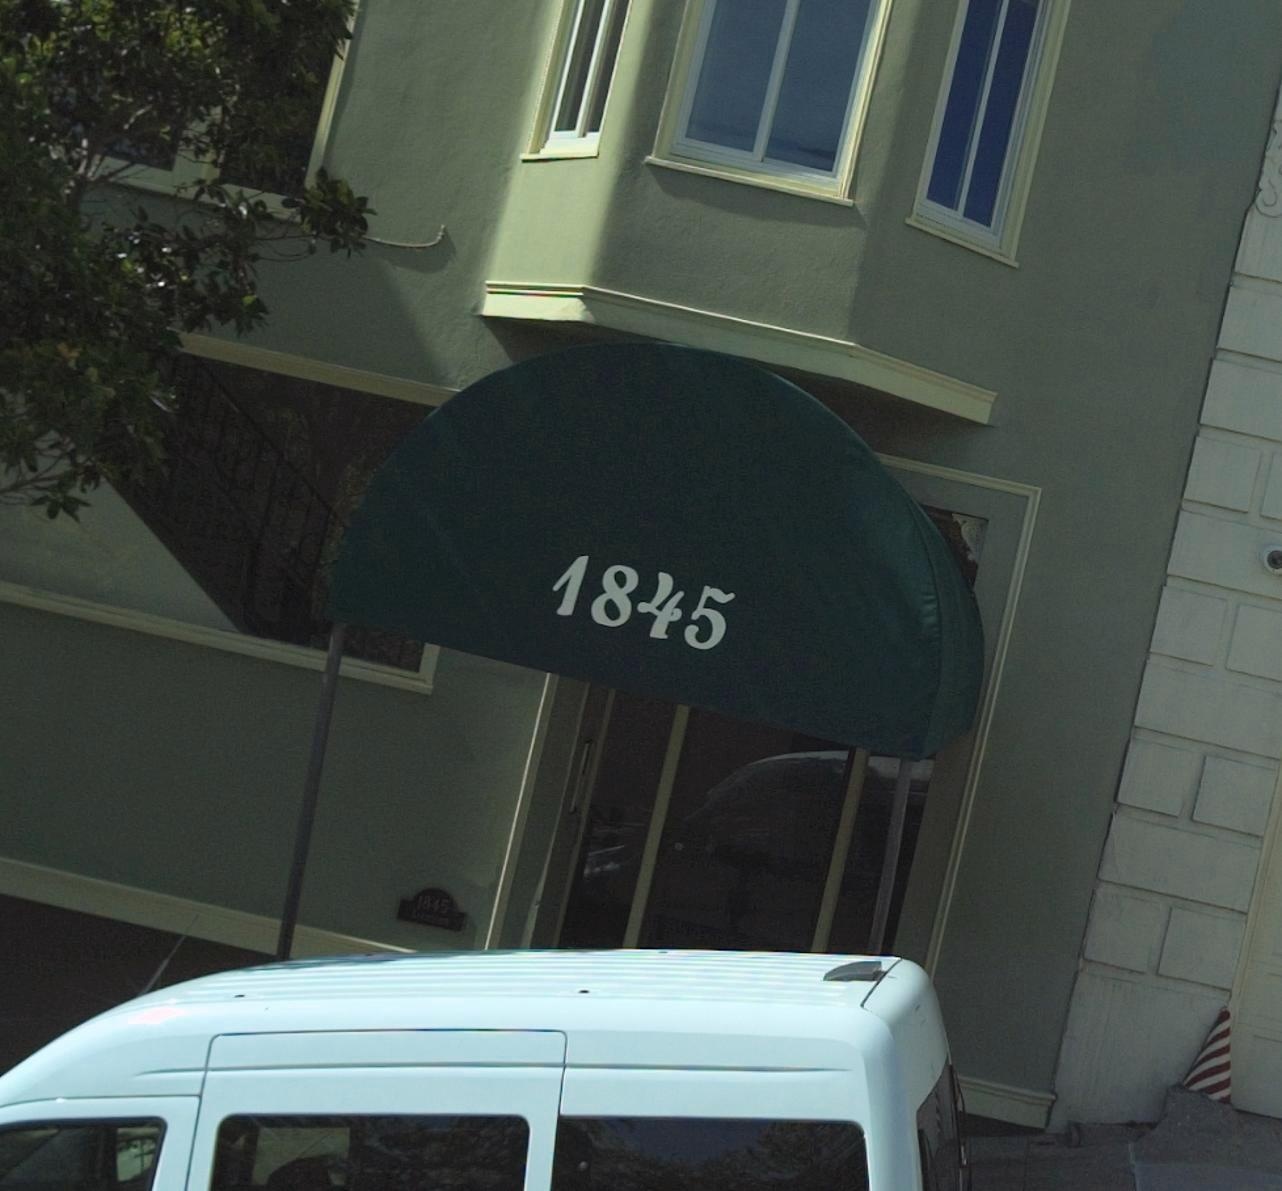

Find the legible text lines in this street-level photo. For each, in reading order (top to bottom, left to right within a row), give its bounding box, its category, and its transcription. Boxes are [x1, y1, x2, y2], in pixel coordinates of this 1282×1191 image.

[549, 552, 739, 655] StreetNumber: 4845
[414, 894, 452, 916] StreetNumber: 1845